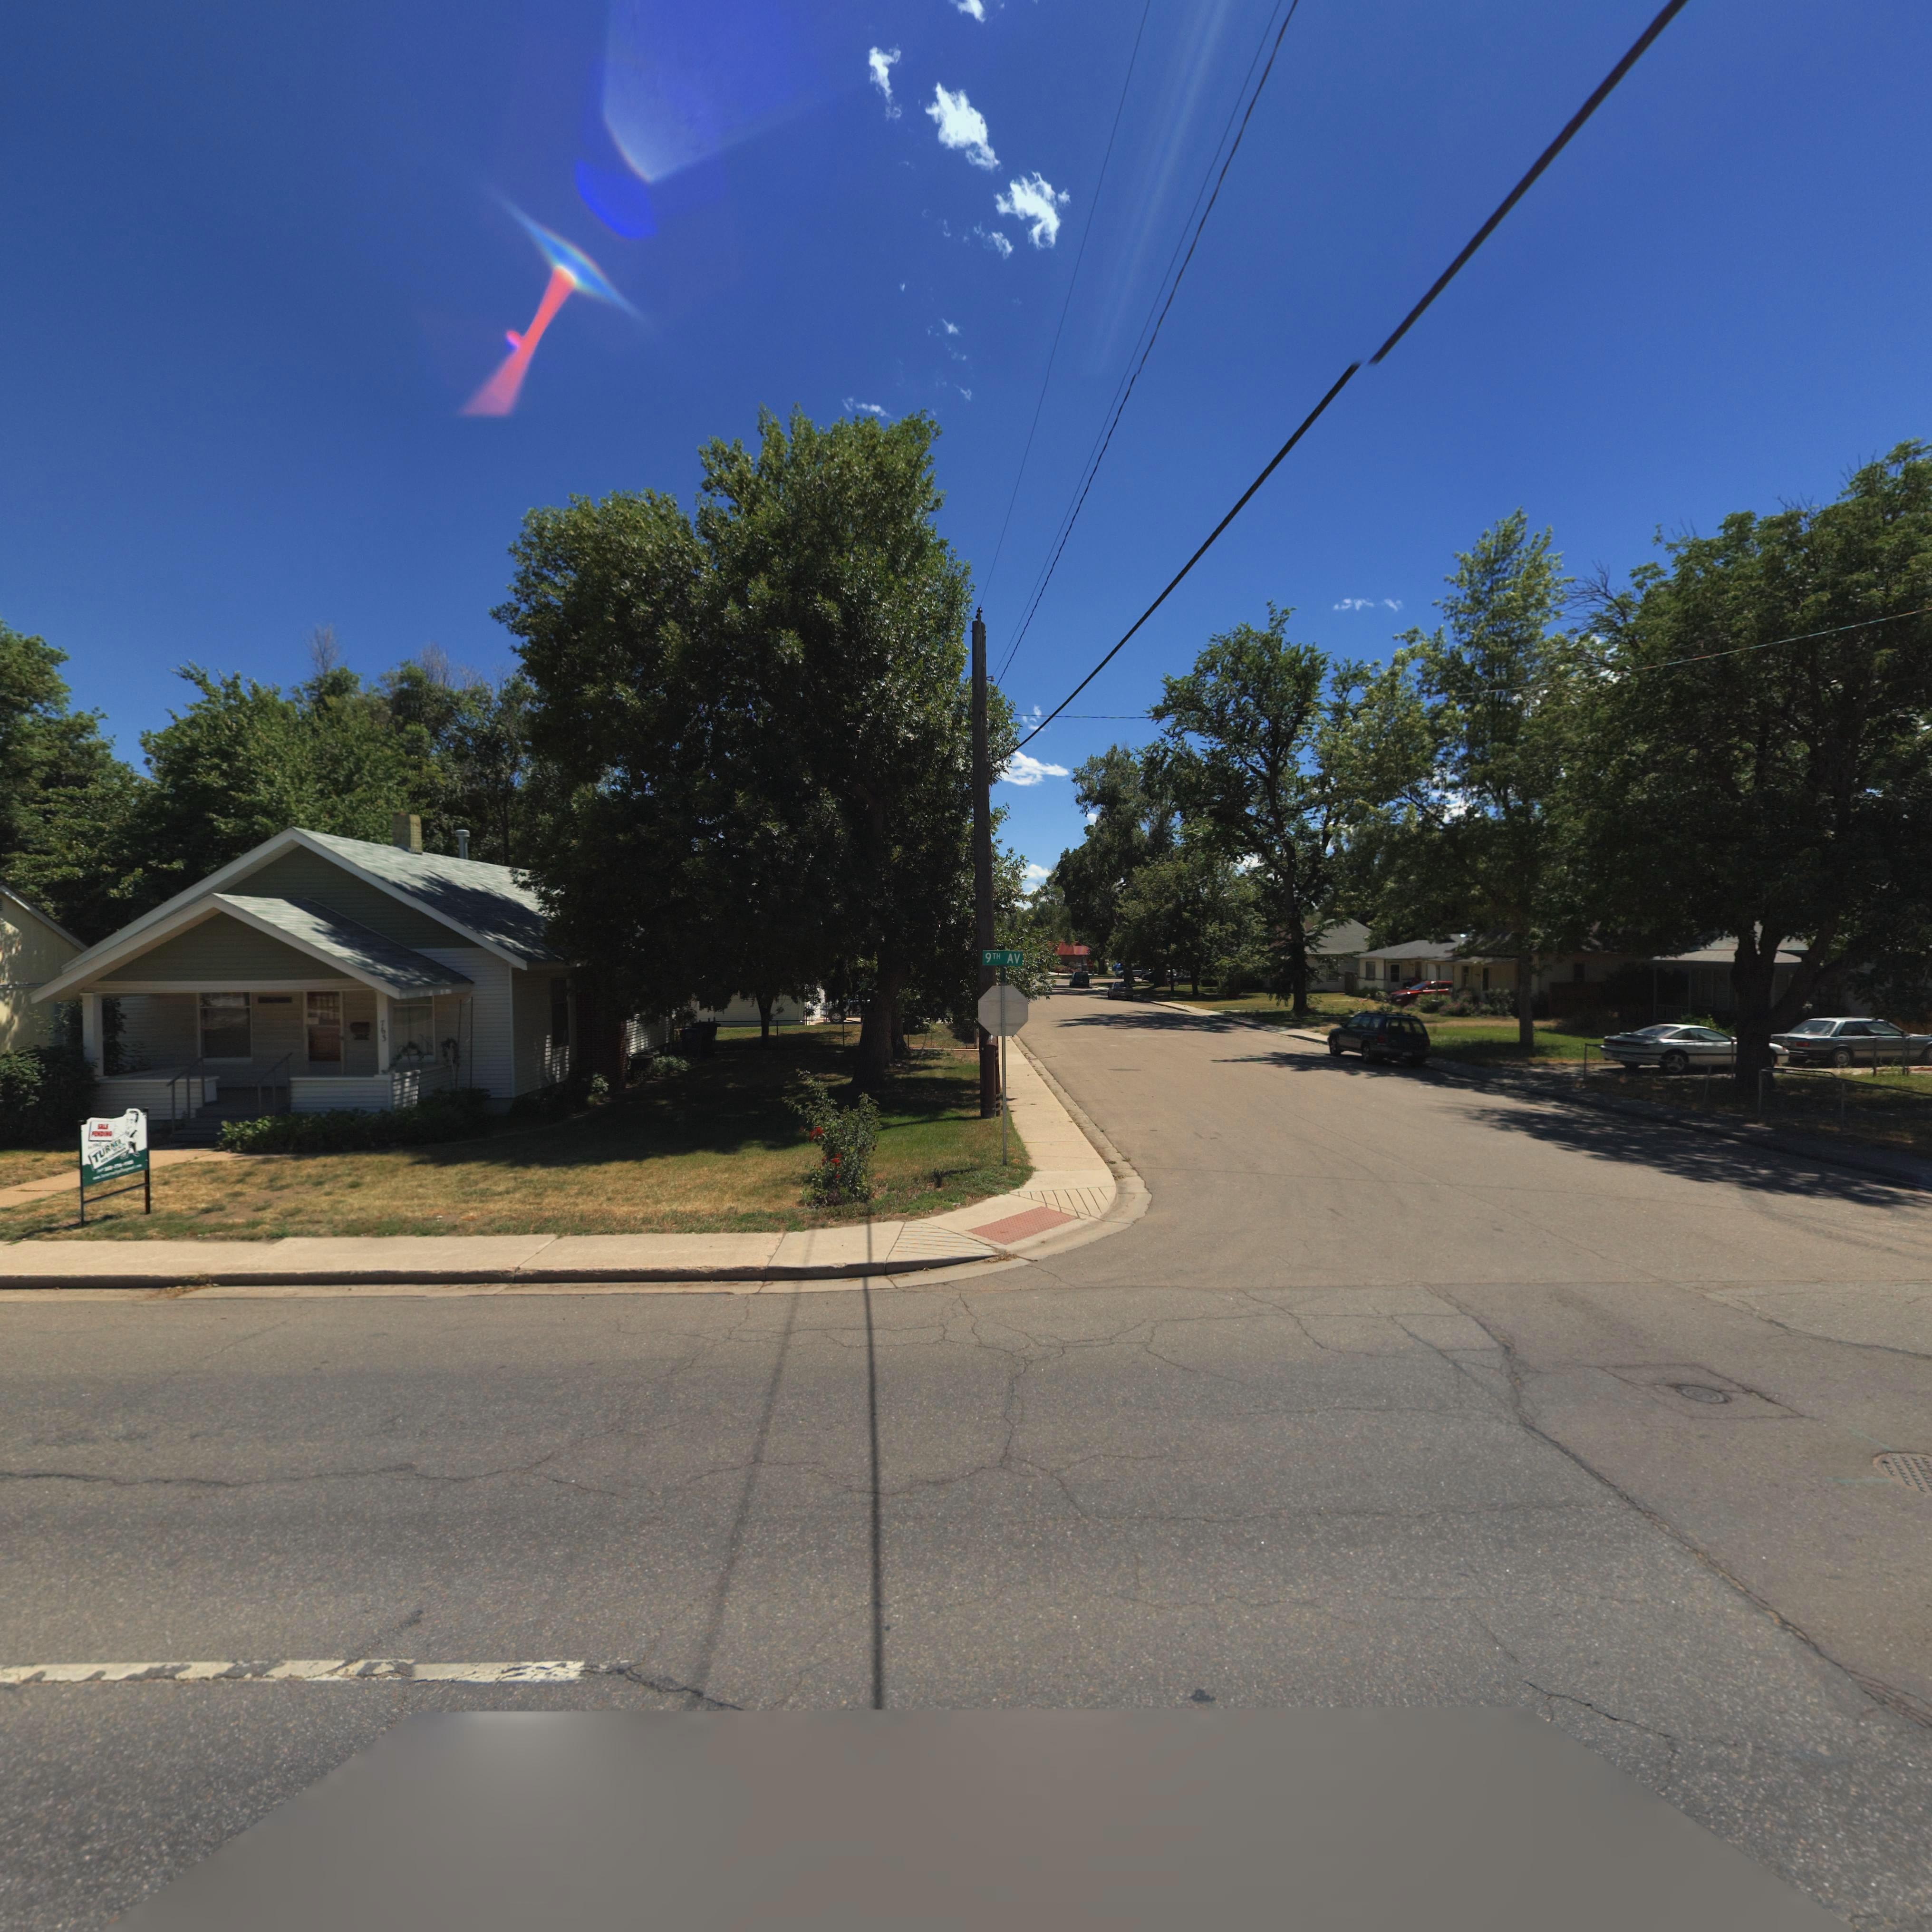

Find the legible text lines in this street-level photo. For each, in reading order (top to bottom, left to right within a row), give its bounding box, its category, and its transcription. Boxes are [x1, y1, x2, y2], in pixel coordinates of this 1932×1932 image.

[985, 952, 1021, 964] StreetName: 9TH AV
[378, 1019, 387, 1042] StreetNumber: 763